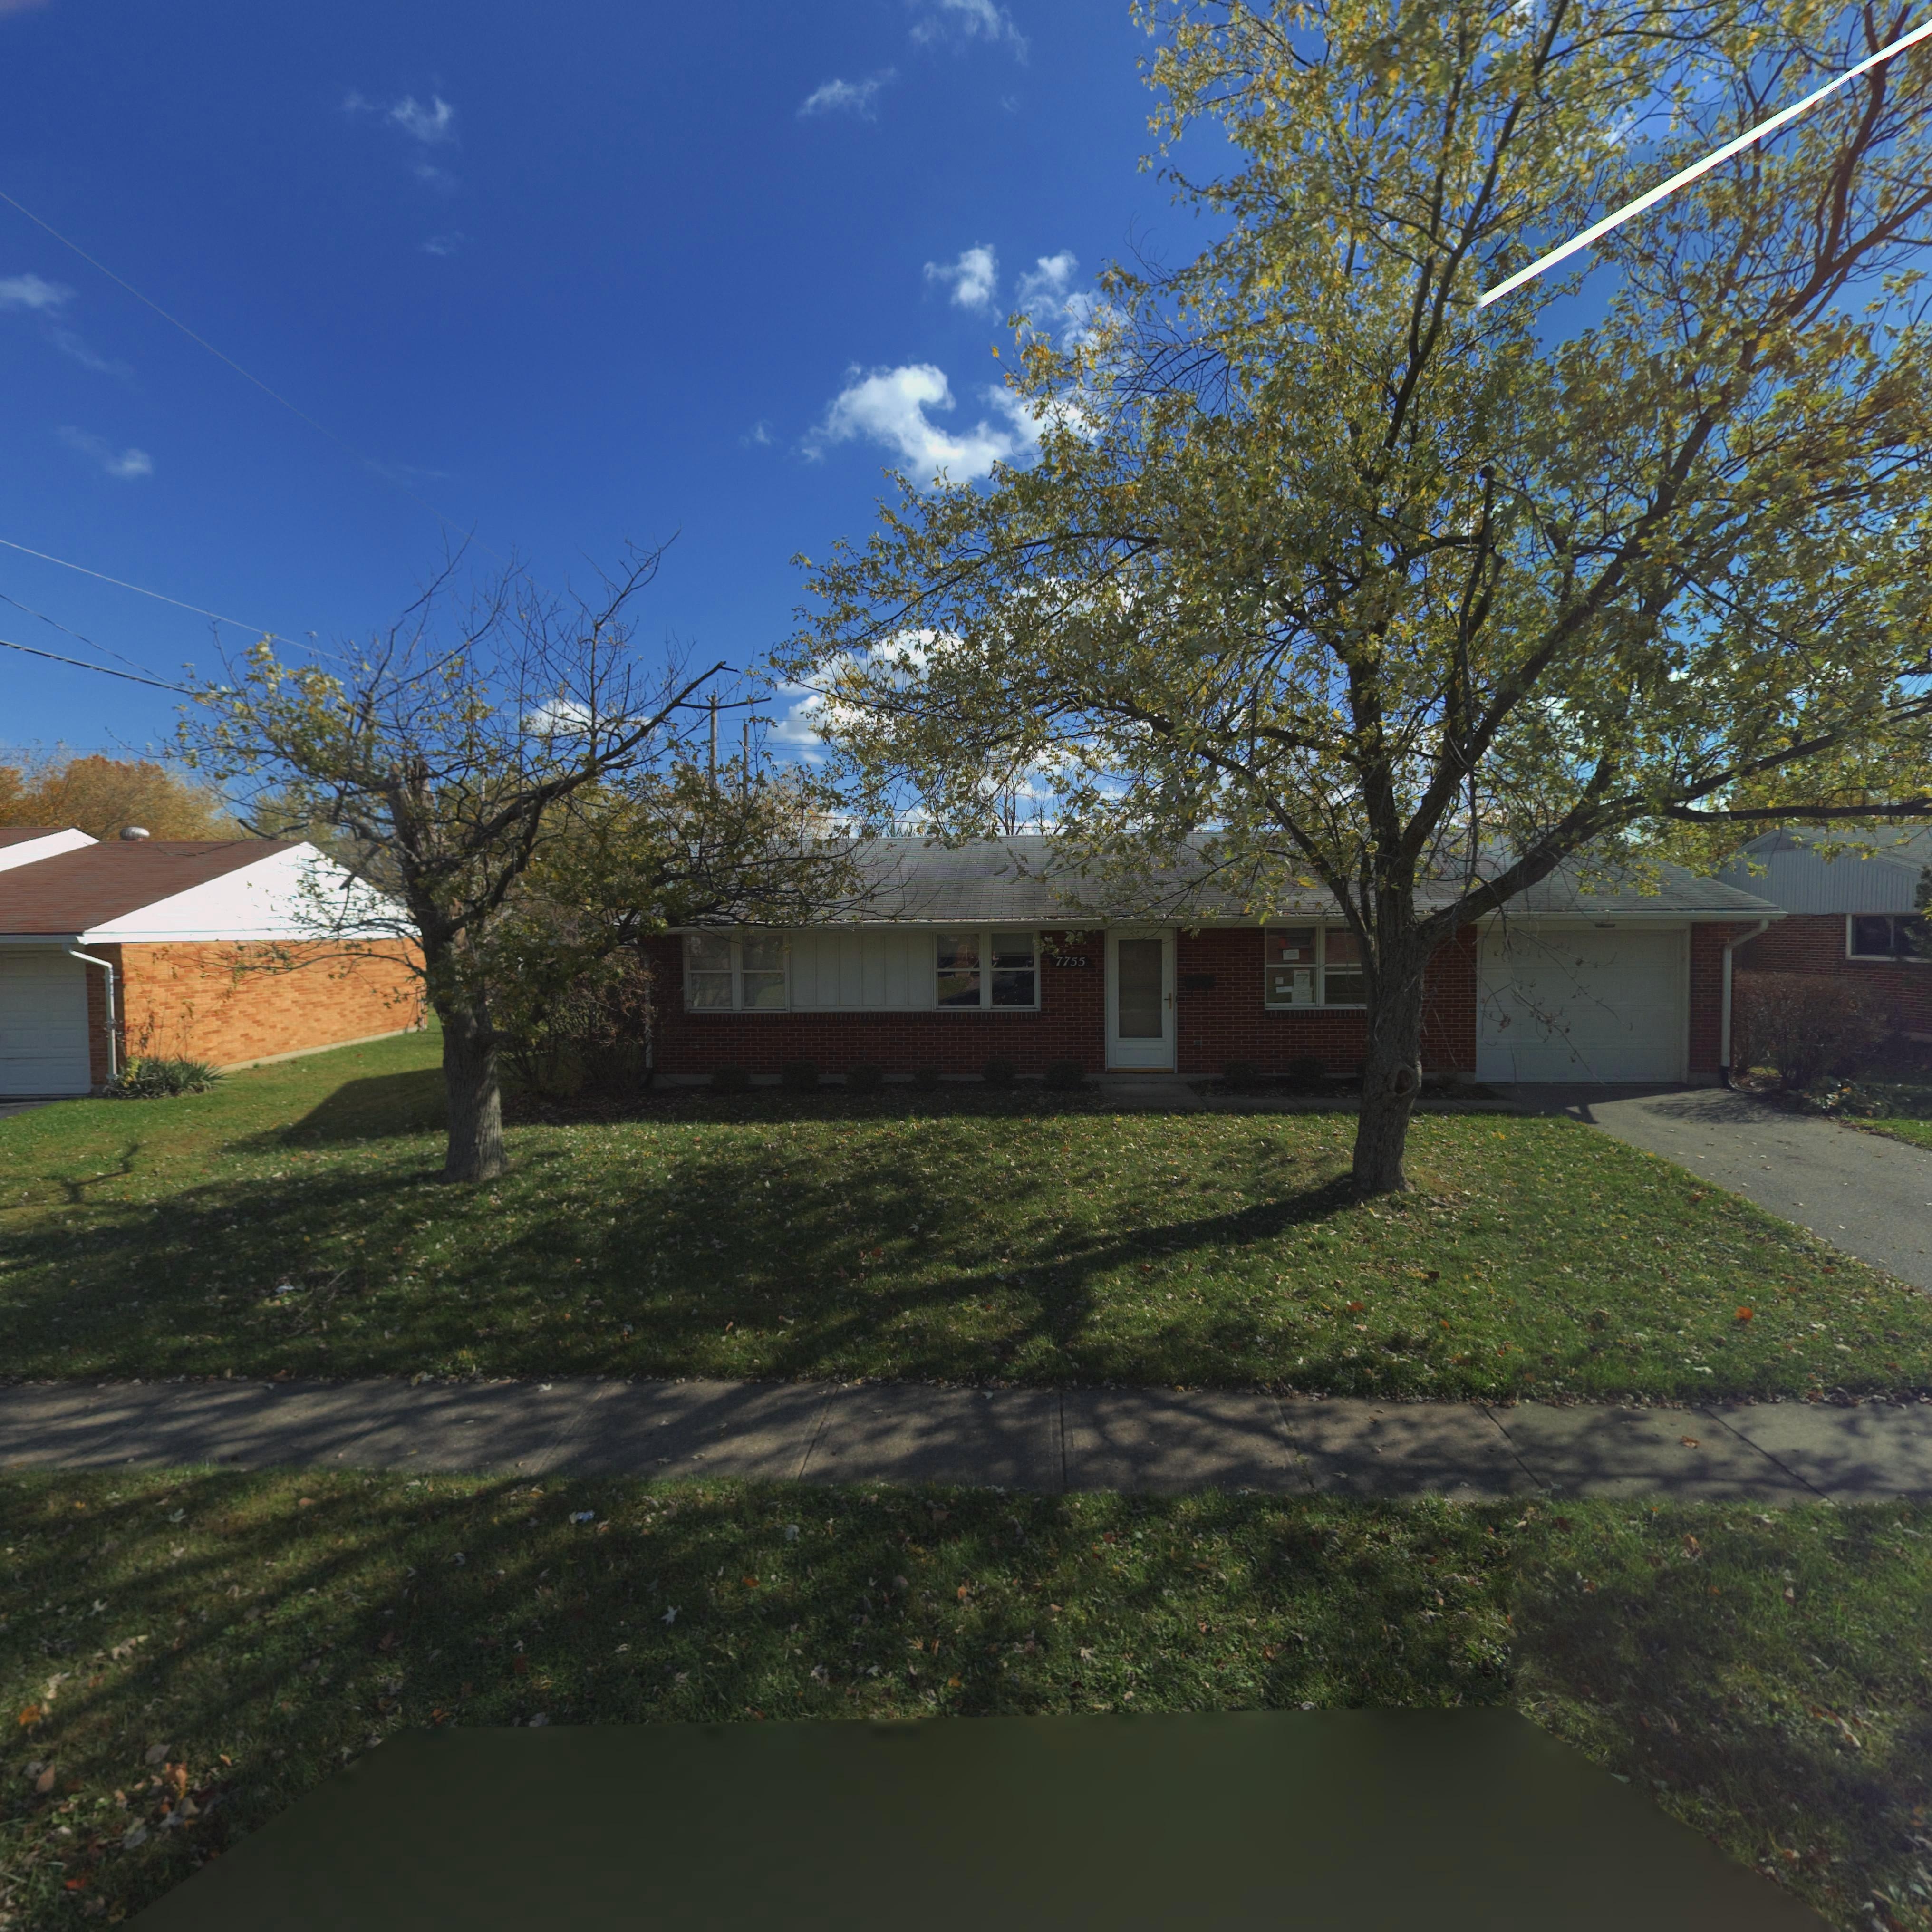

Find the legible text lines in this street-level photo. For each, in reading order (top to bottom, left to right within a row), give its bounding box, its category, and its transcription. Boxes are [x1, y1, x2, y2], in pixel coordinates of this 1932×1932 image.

[1055, 956, 1086, 967] StreetNumber: 7755